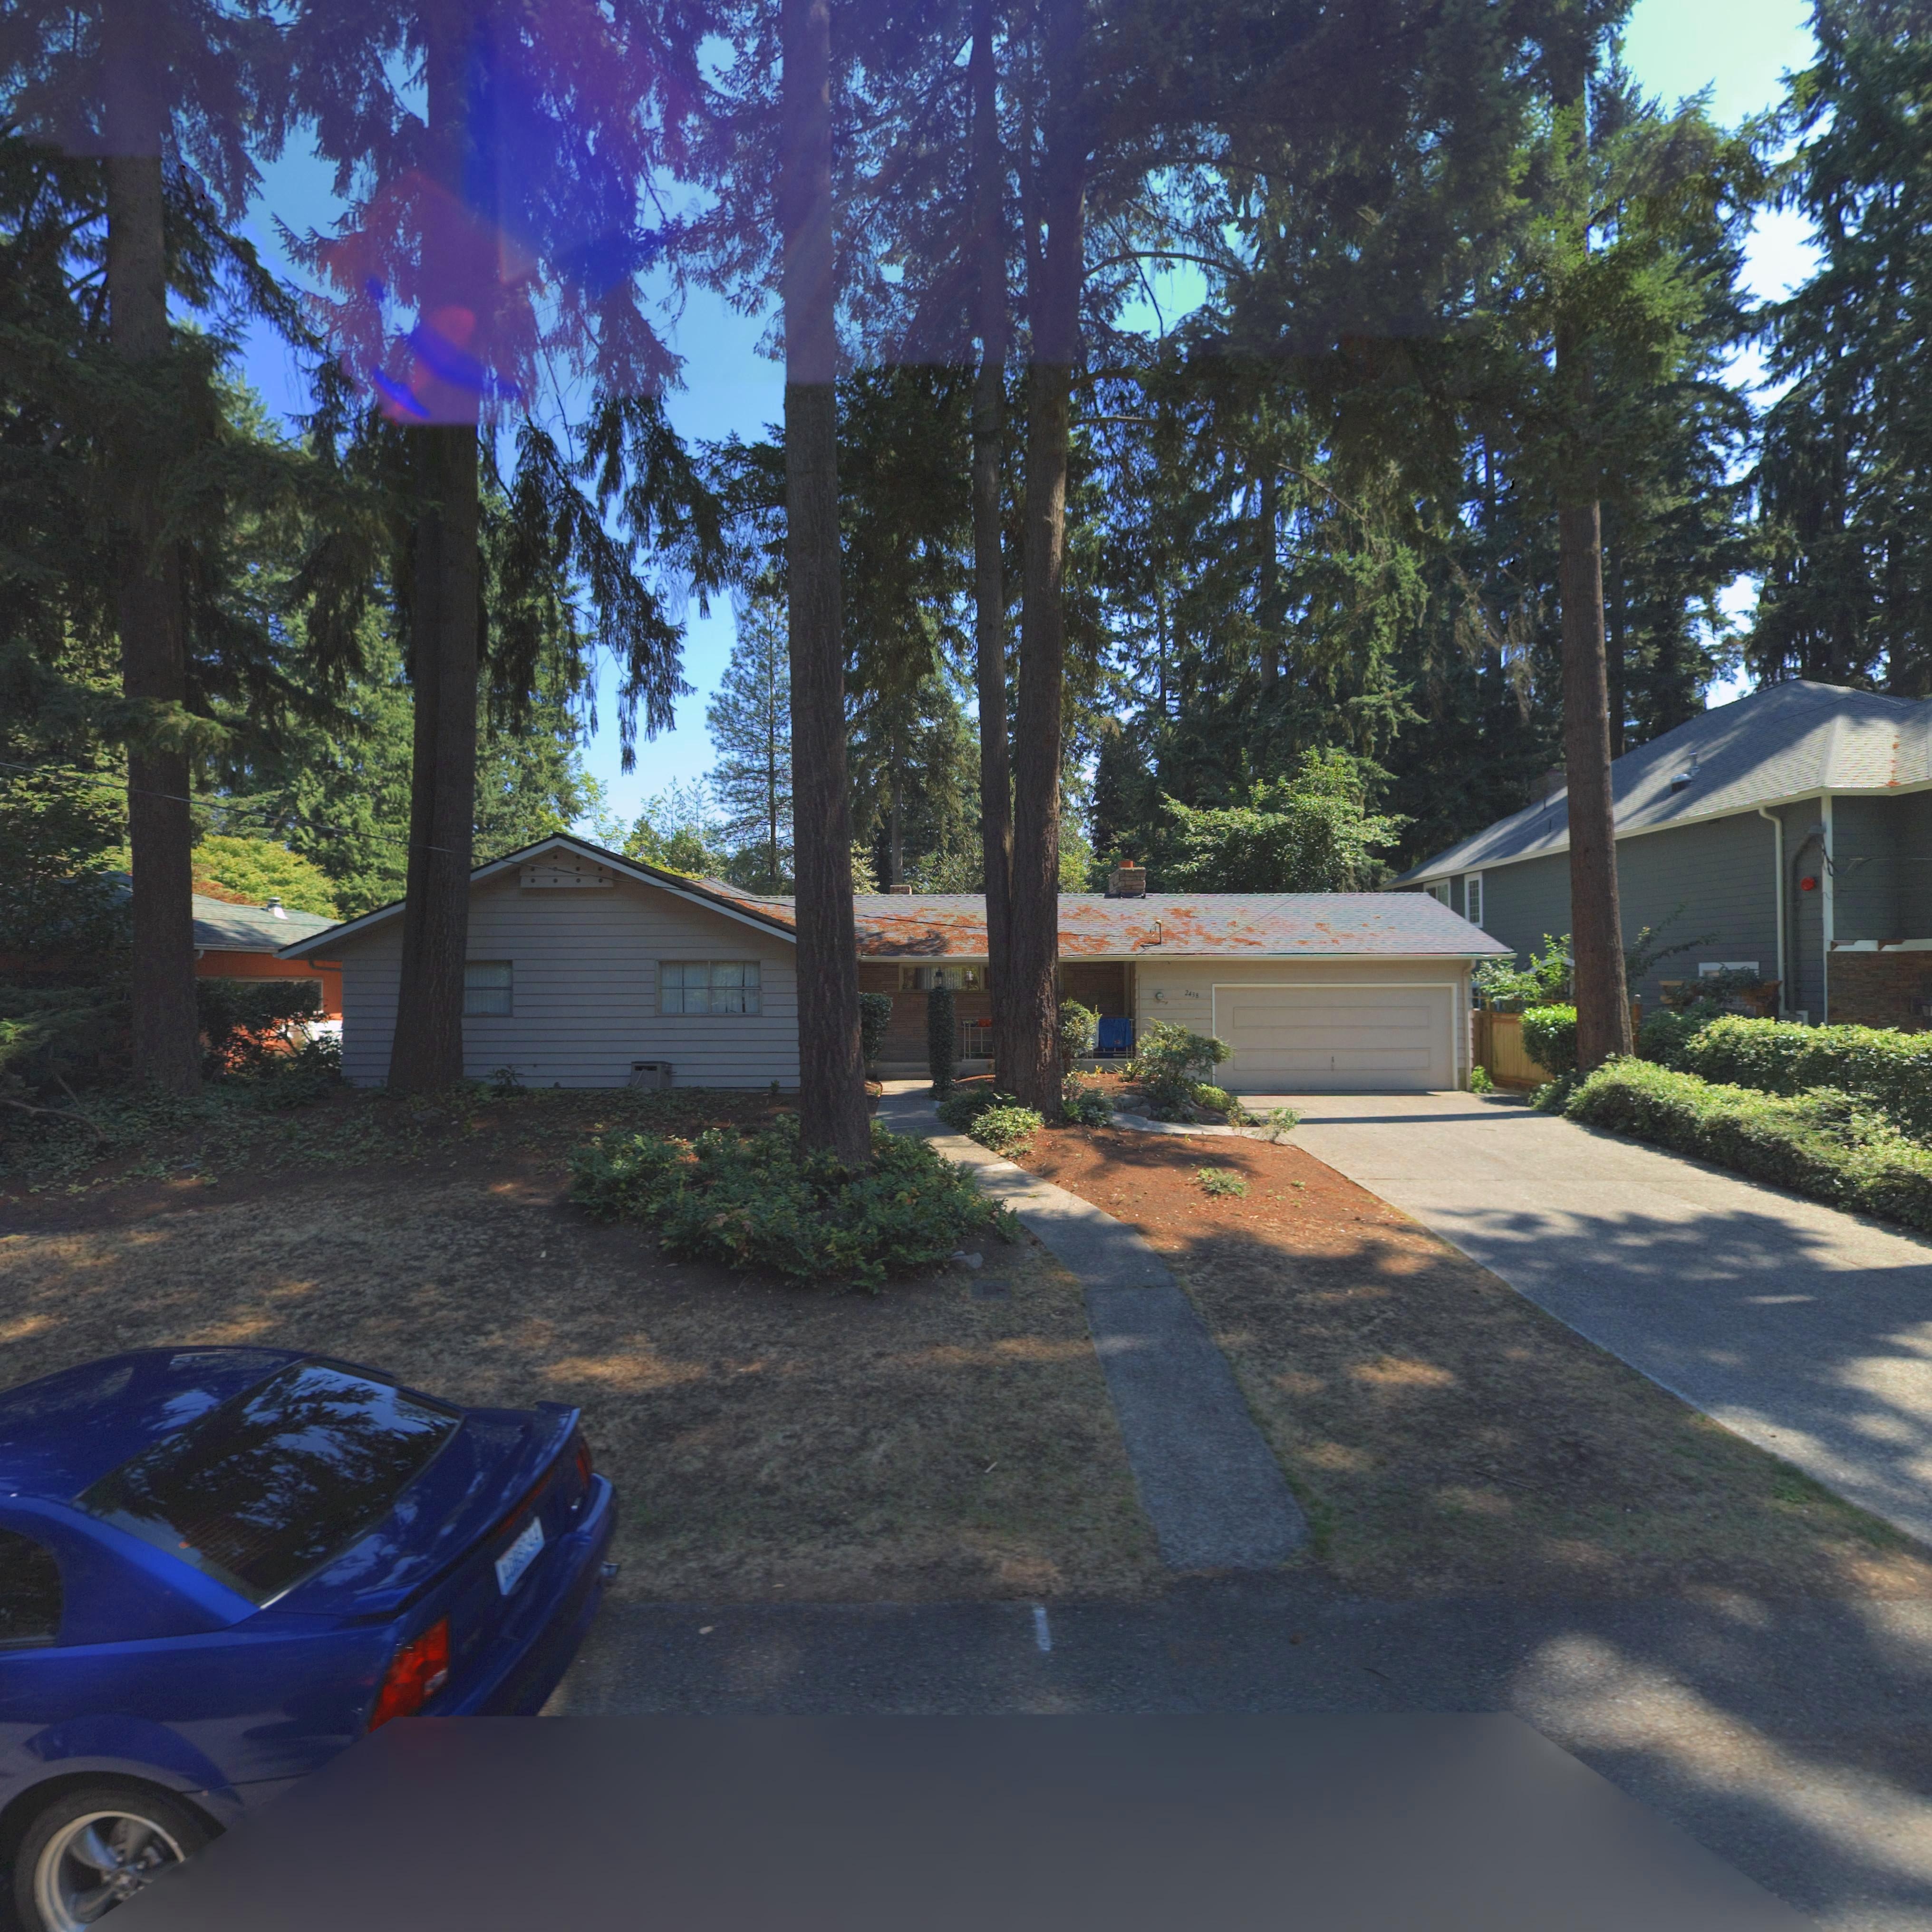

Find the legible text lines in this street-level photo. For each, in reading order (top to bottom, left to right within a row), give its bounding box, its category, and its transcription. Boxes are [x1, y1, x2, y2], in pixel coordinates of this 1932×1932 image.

[1185, 989, 1198, 998] StreetNumber: 2438